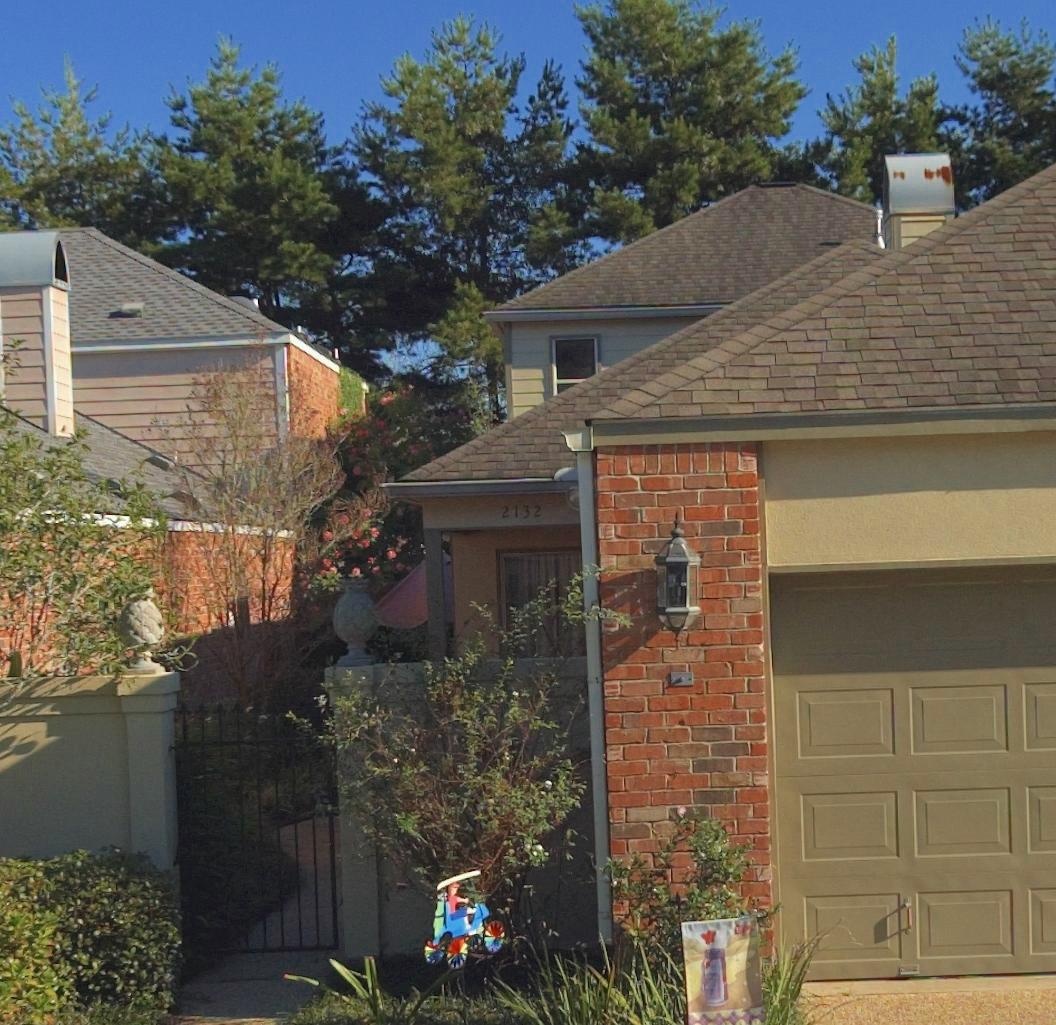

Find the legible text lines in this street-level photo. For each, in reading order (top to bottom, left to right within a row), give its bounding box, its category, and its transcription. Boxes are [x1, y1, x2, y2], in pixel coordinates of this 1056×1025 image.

[500, 503, 543, 520] StreetNumber: 2132